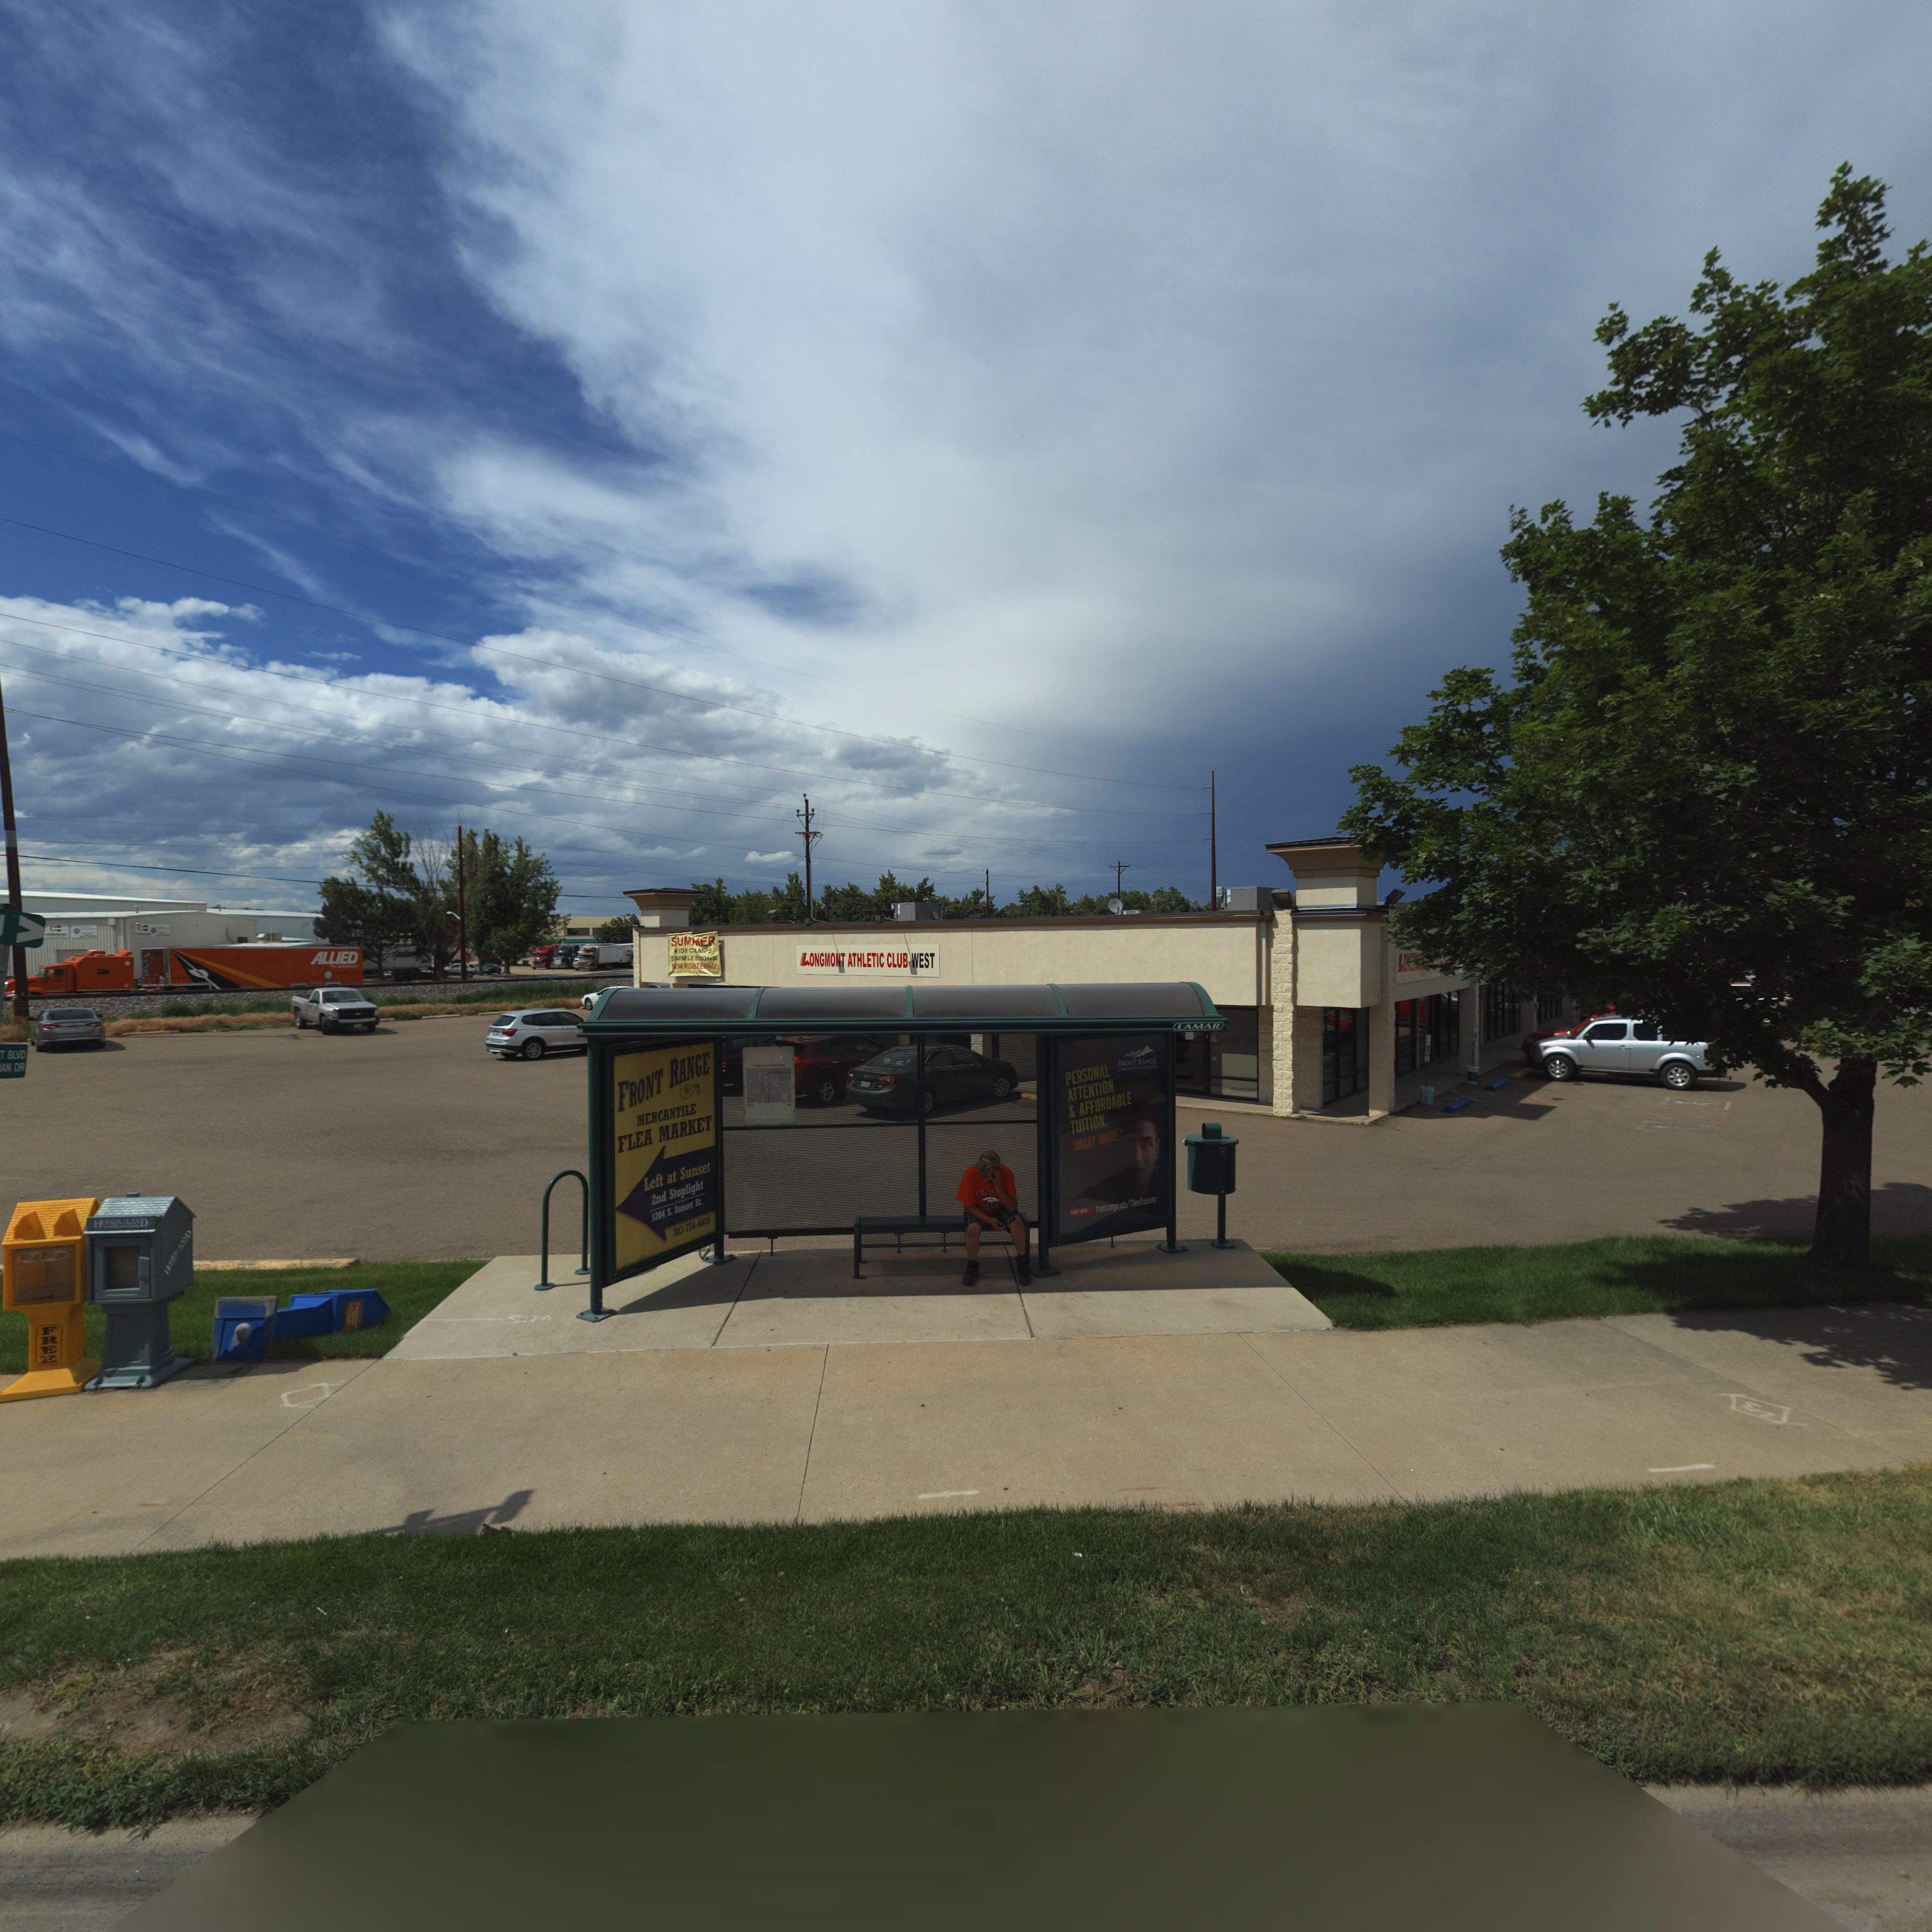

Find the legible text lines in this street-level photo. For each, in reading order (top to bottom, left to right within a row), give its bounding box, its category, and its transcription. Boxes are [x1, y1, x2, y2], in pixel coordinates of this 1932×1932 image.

[800, 952, 935, 968] BusinessName: LONGMONT ATHLETIC CLUB WEST
[1396, 951, 1420, 973] BusinessName: LO***
[6, 1049, 27, 1059] StreetName: BLVD
[5, 1062, 25, 1072] StreetName: N DR